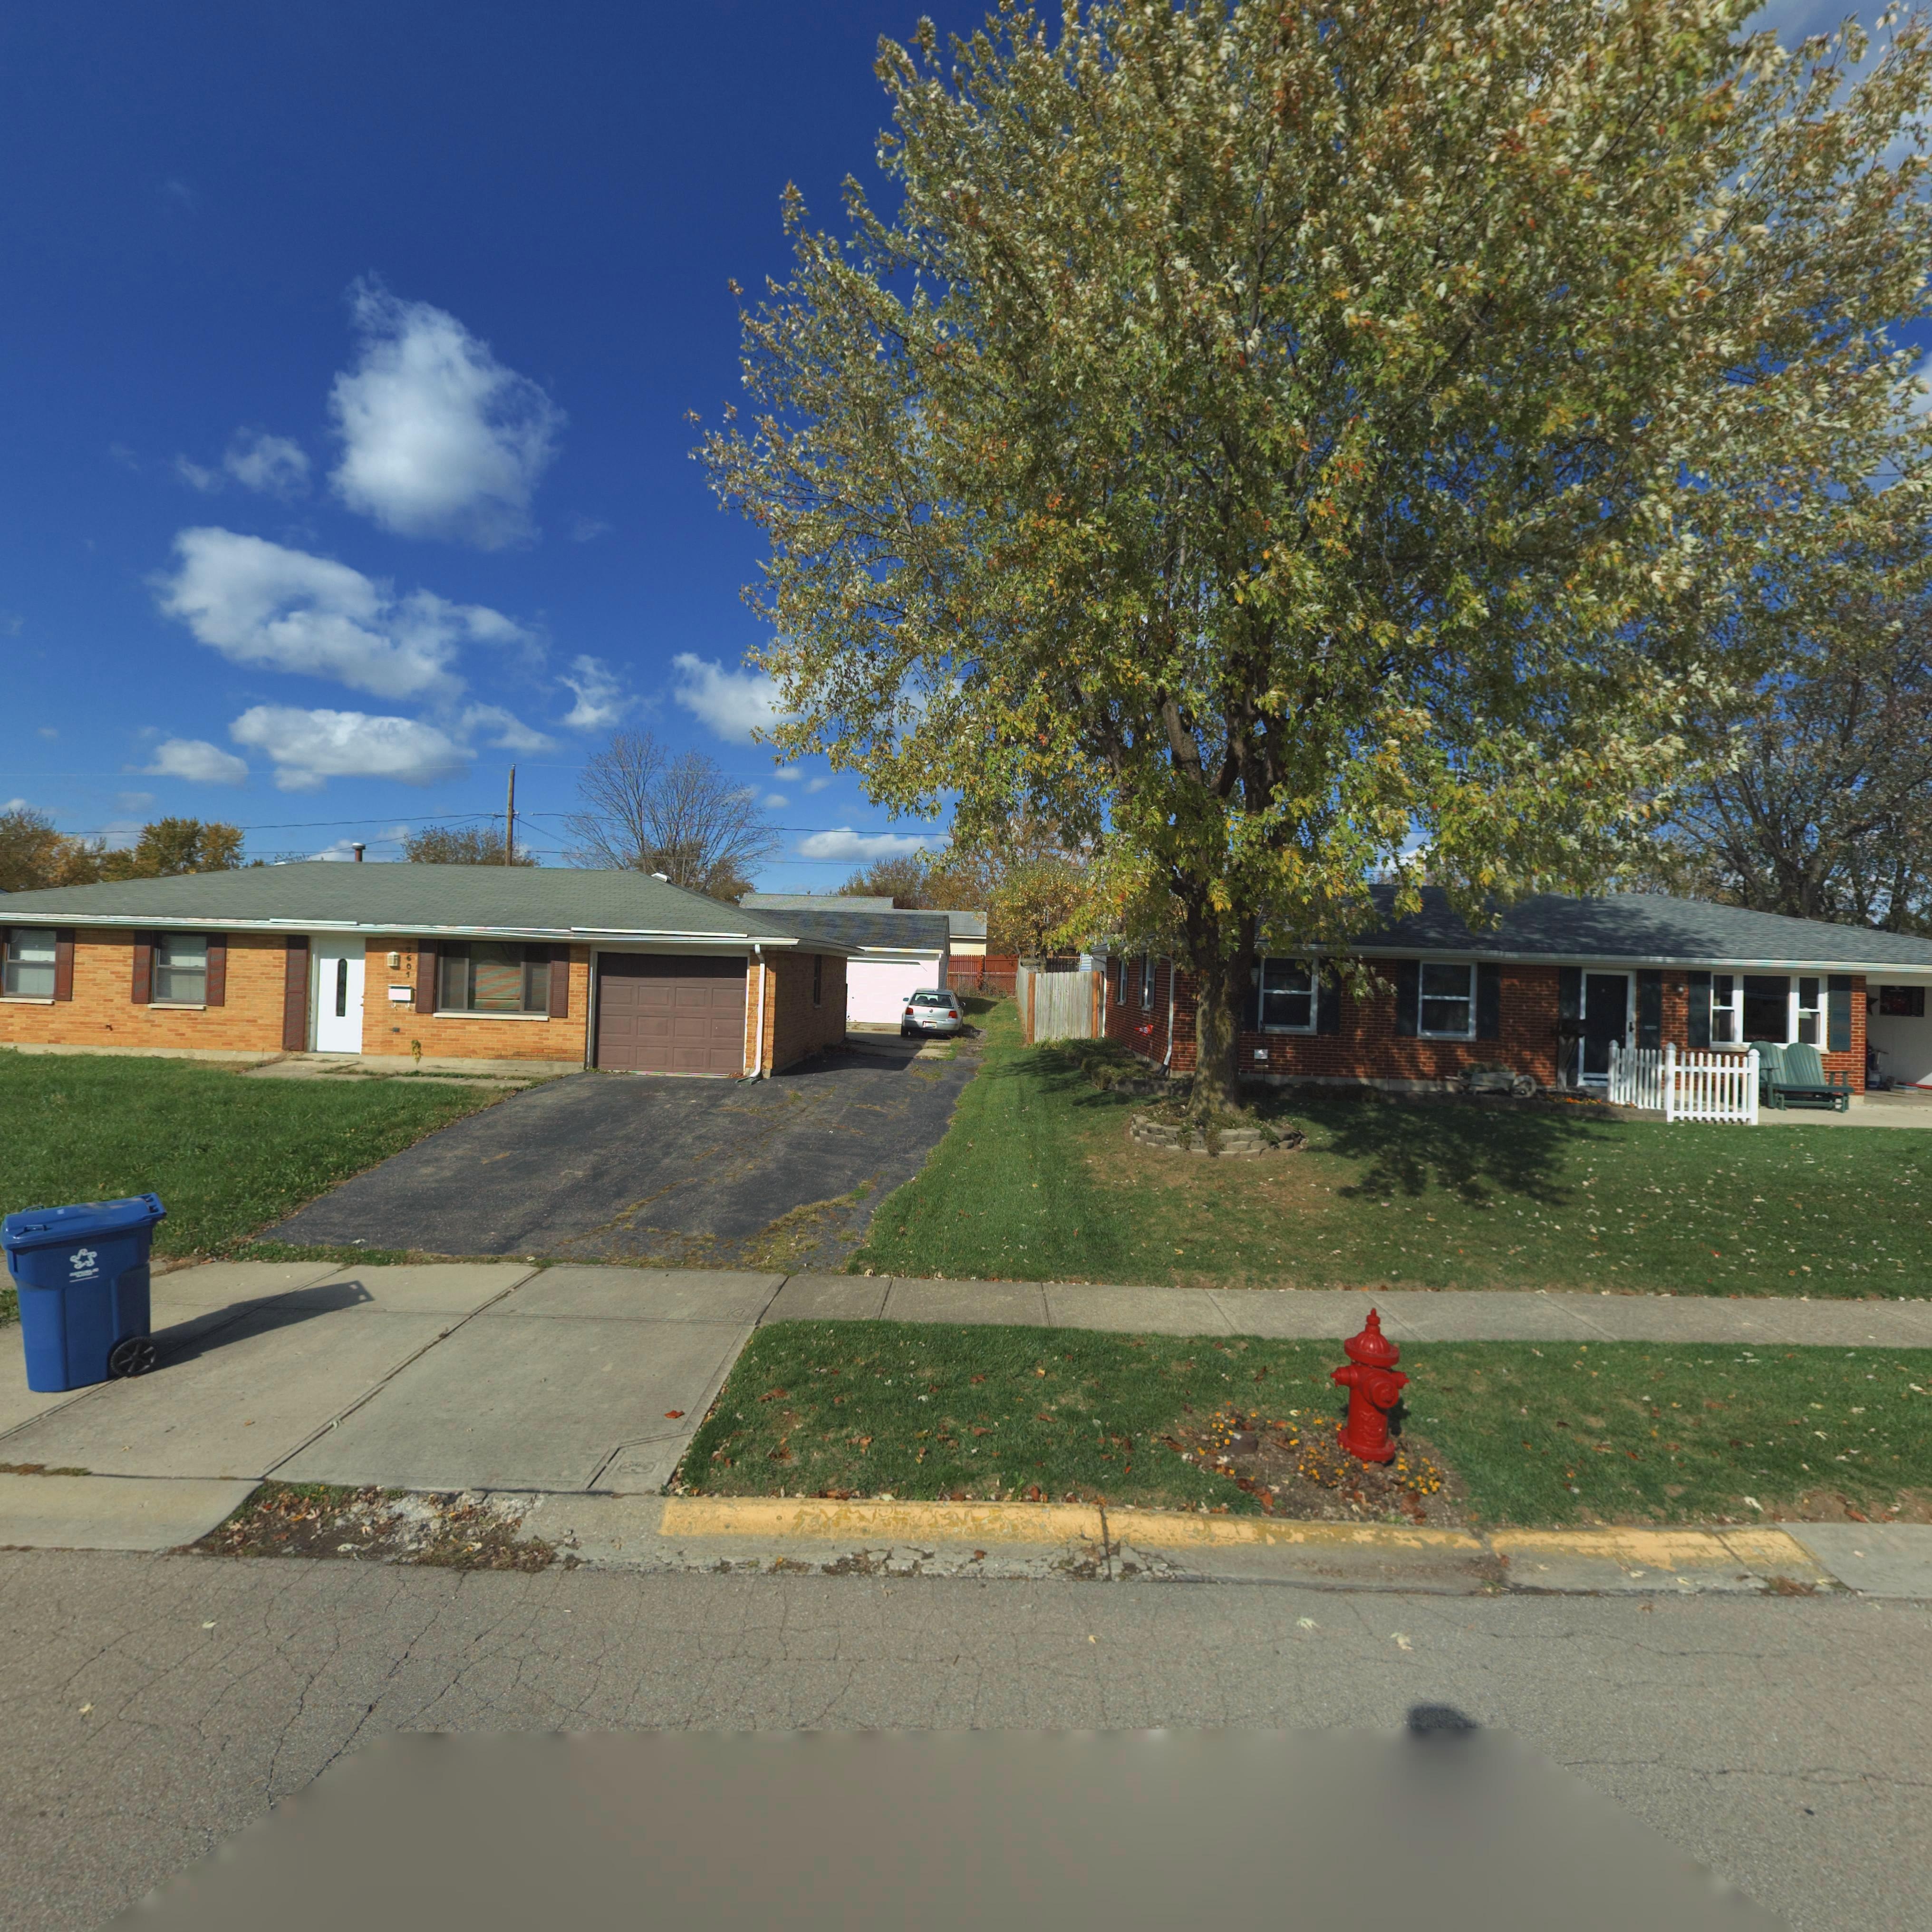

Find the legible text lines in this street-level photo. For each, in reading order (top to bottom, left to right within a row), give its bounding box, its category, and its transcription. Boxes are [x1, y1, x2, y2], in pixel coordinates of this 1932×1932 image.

[405, 946, 412, 978] StreetNumber: 7601